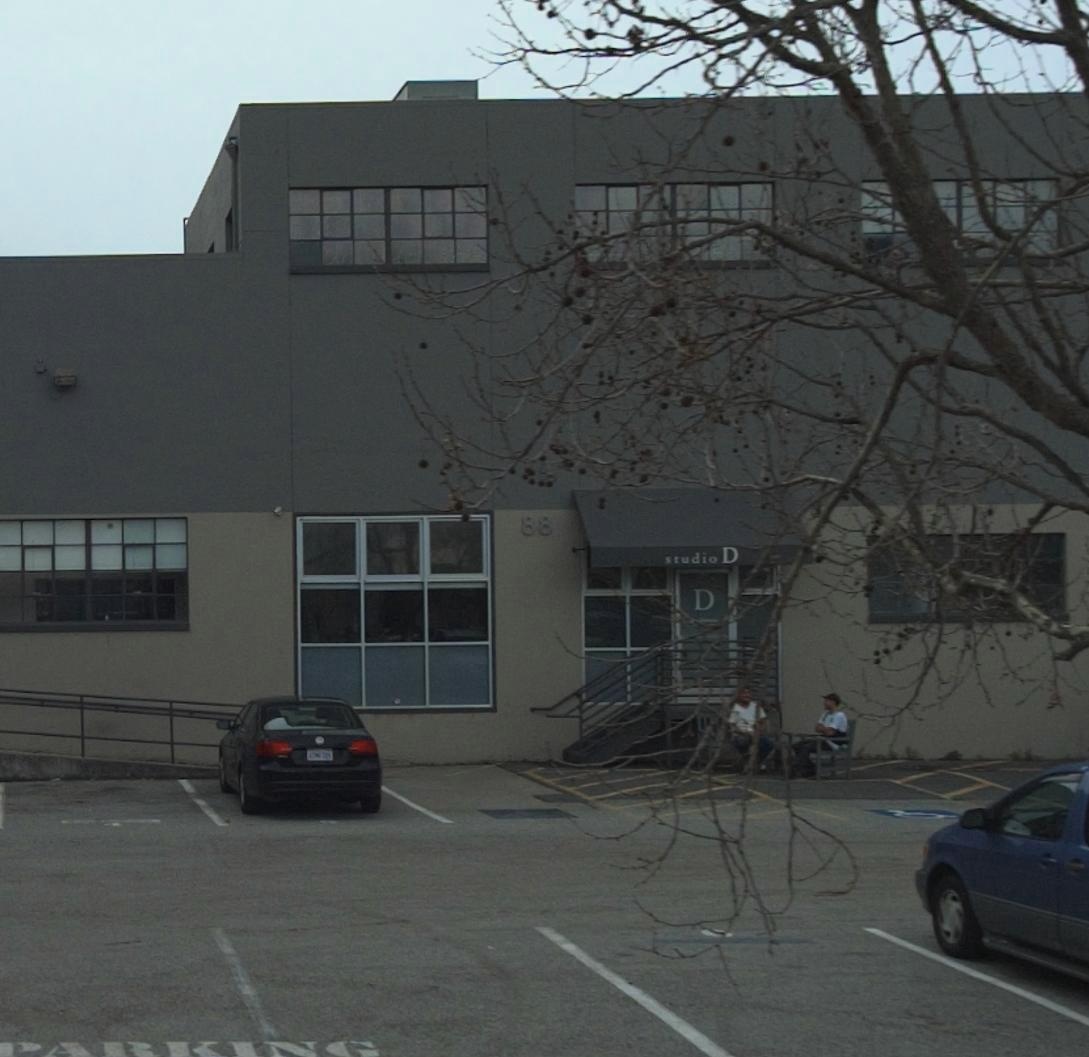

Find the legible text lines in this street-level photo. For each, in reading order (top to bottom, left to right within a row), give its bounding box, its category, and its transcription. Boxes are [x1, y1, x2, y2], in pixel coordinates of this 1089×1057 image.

[522, 515, 553, 536] StreetNumber: 88
[663, 545, 739, 565] BusinessName: studio D
[692, 587, 715, 611] BusinessName: D
[0, 1037, 385, 1057] None: PARKING